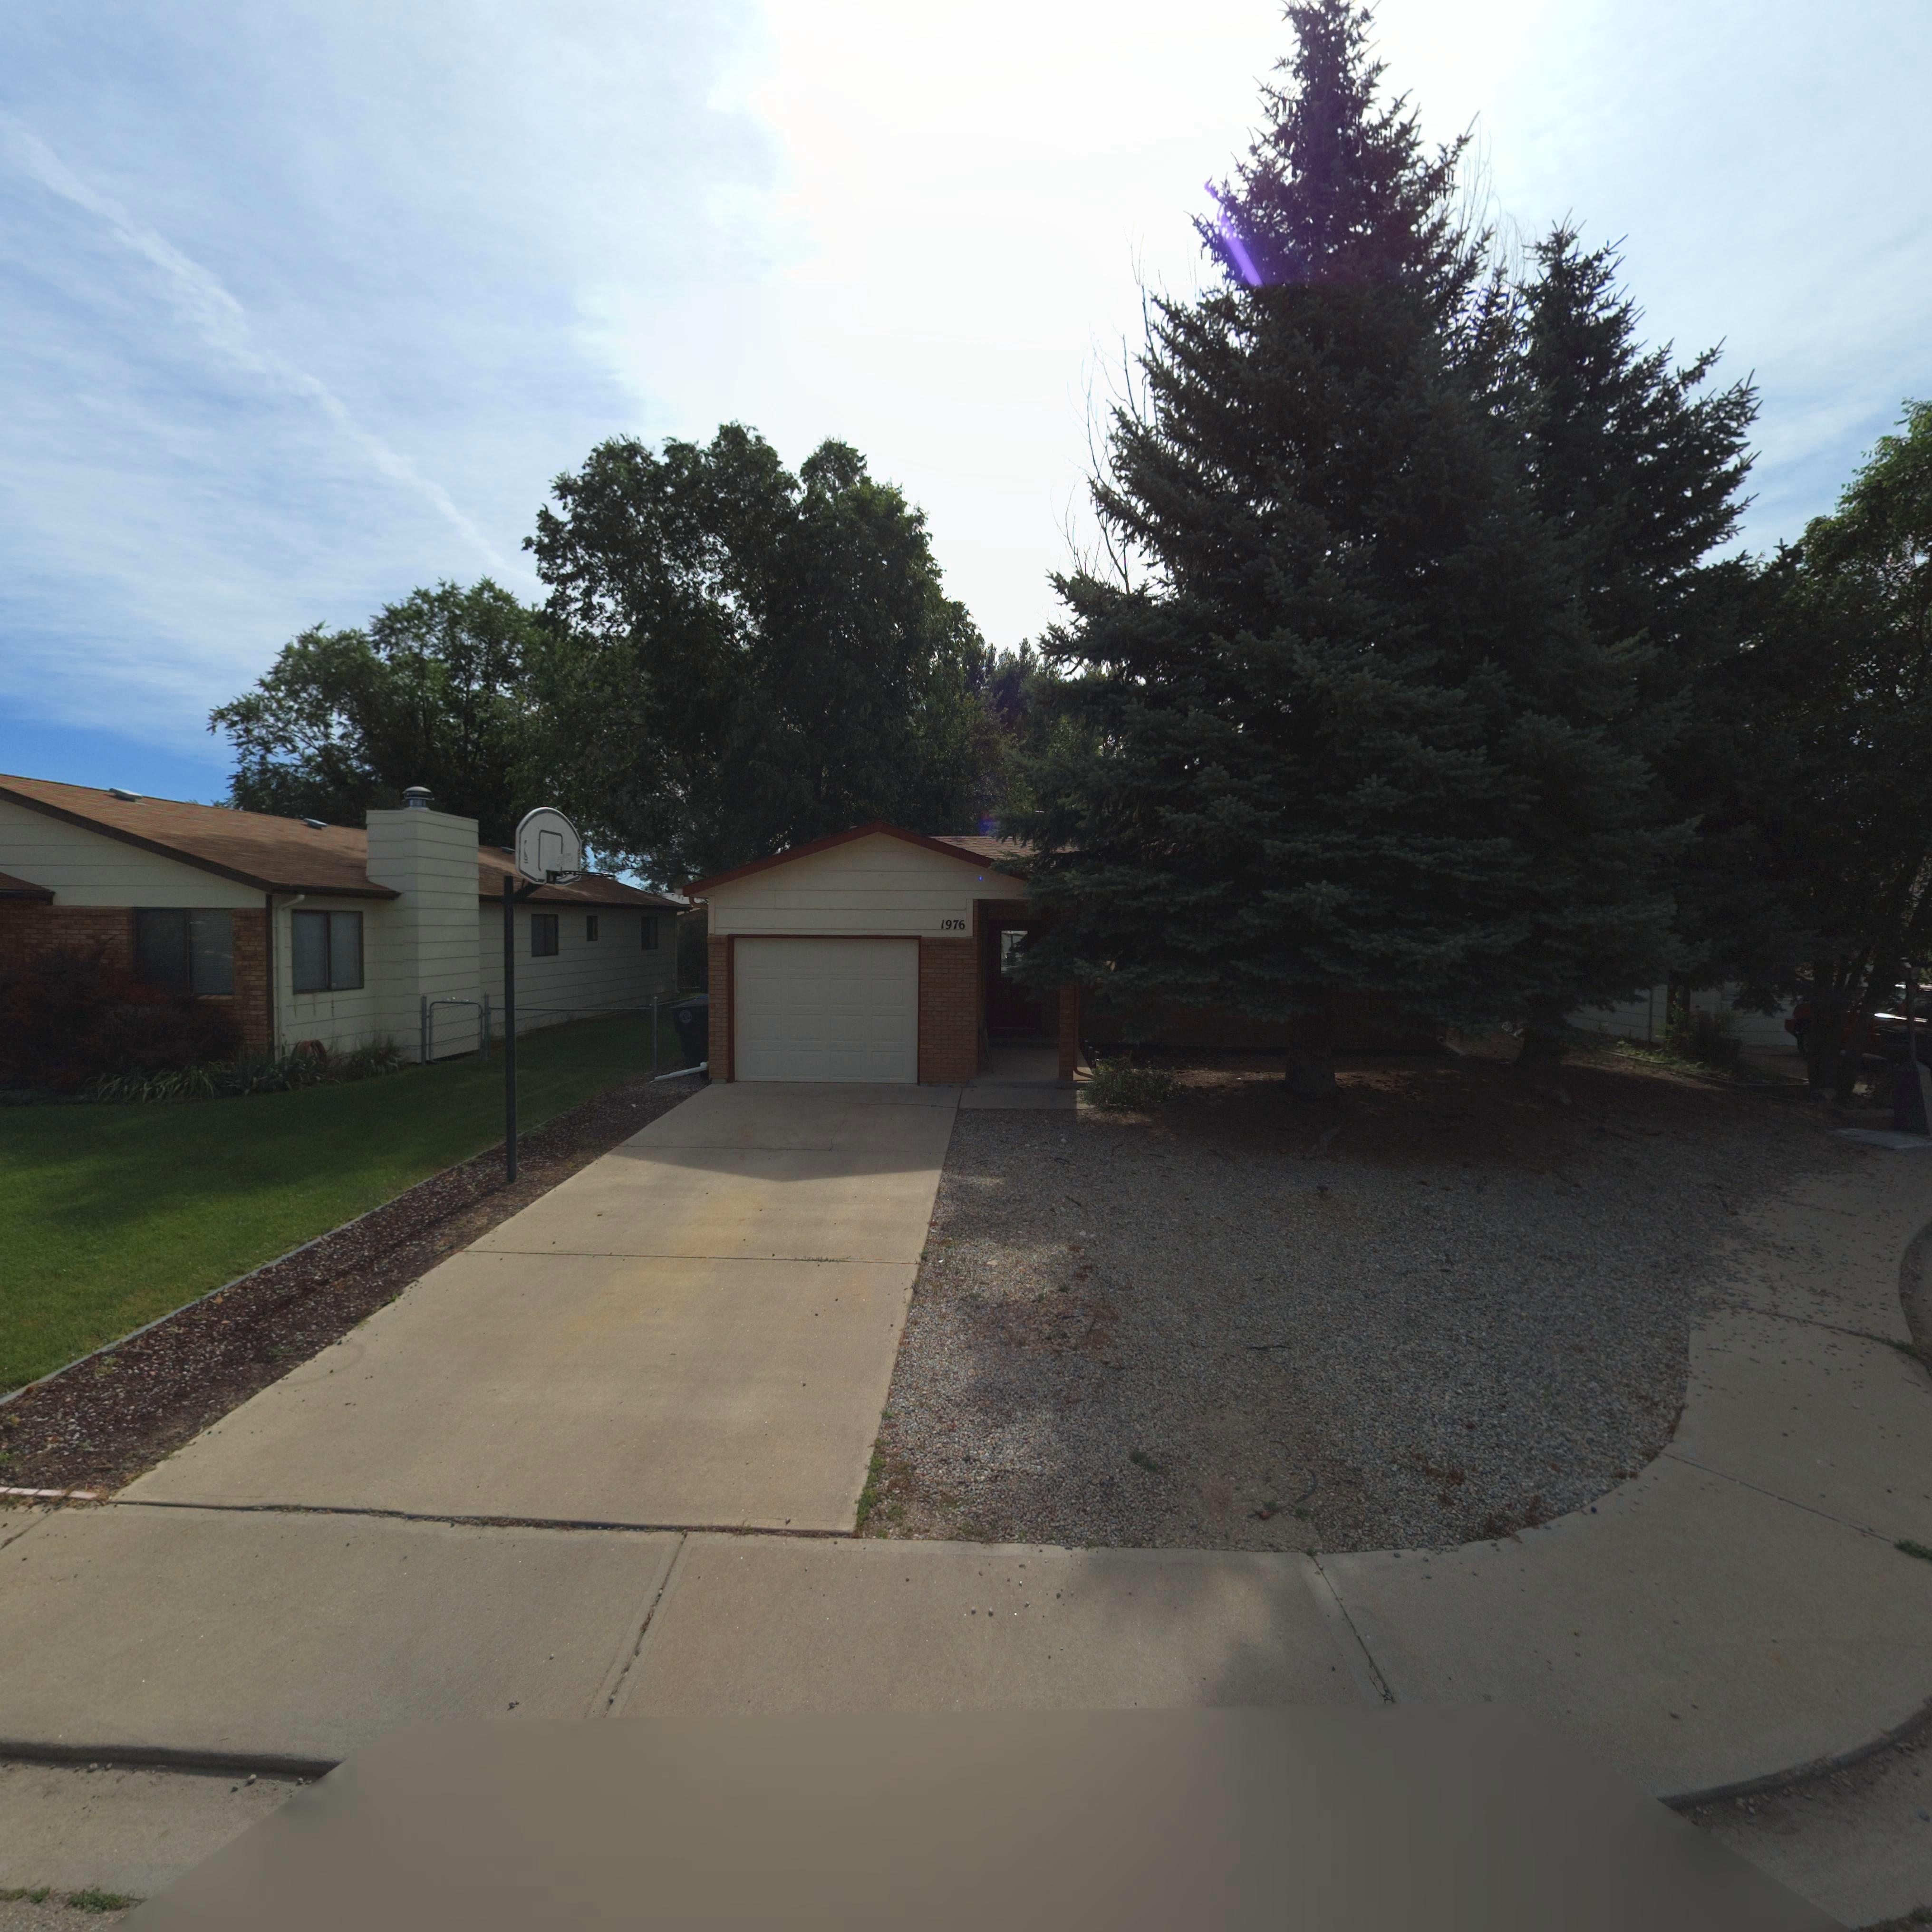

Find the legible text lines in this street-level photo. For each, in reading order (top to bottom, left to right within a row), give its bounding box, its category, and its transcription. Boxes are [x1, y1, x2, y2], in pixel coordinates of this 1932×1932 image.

[940, 919, 966, 930] StreetNumber: 1976